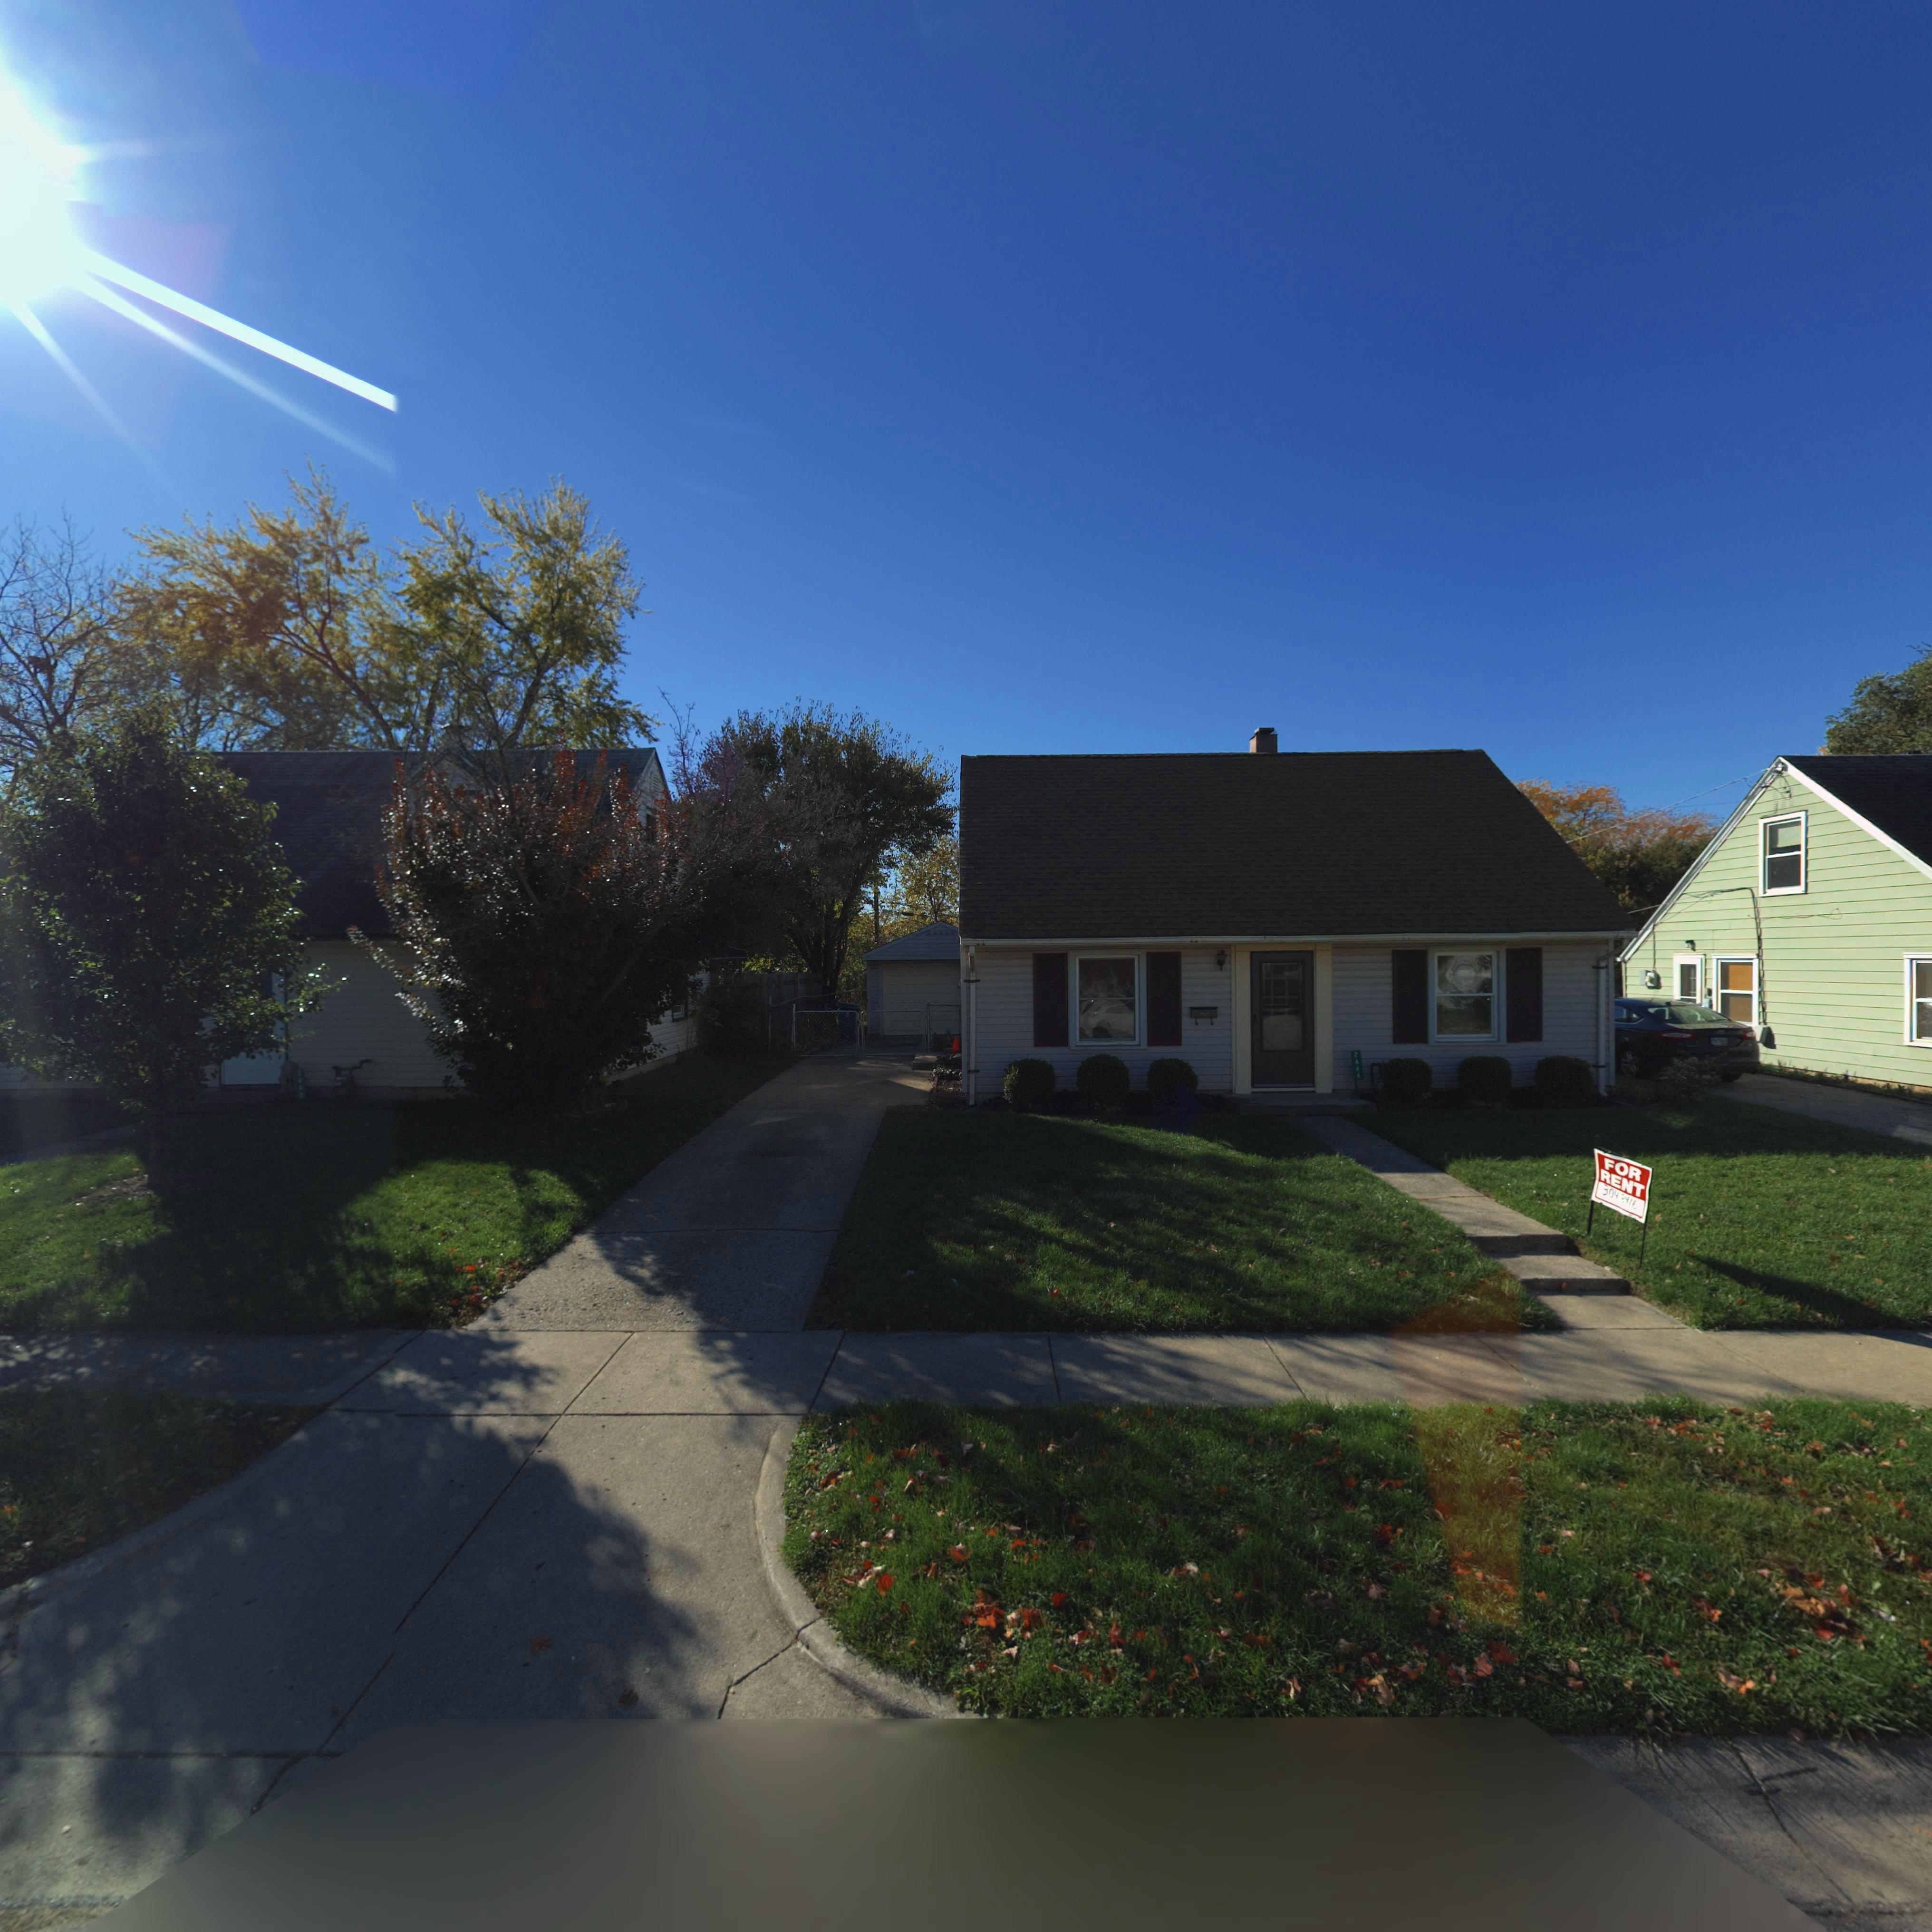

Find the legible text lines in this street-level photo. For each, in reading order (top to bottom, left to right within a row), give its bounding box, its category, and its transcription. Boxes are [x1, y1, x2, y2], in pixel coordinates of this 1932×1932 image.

[1352, 1050, 1362, 1080] StreetNumber: 2444
[296, 1068, 305, 1101] StreetNumber: 2440
[1602, 1183, 1639, 1211] None: 304 8*16
[1604, 1157, 1643, 1183] None: FOR
[1600, 1168, 1646, 1198] None: RENT